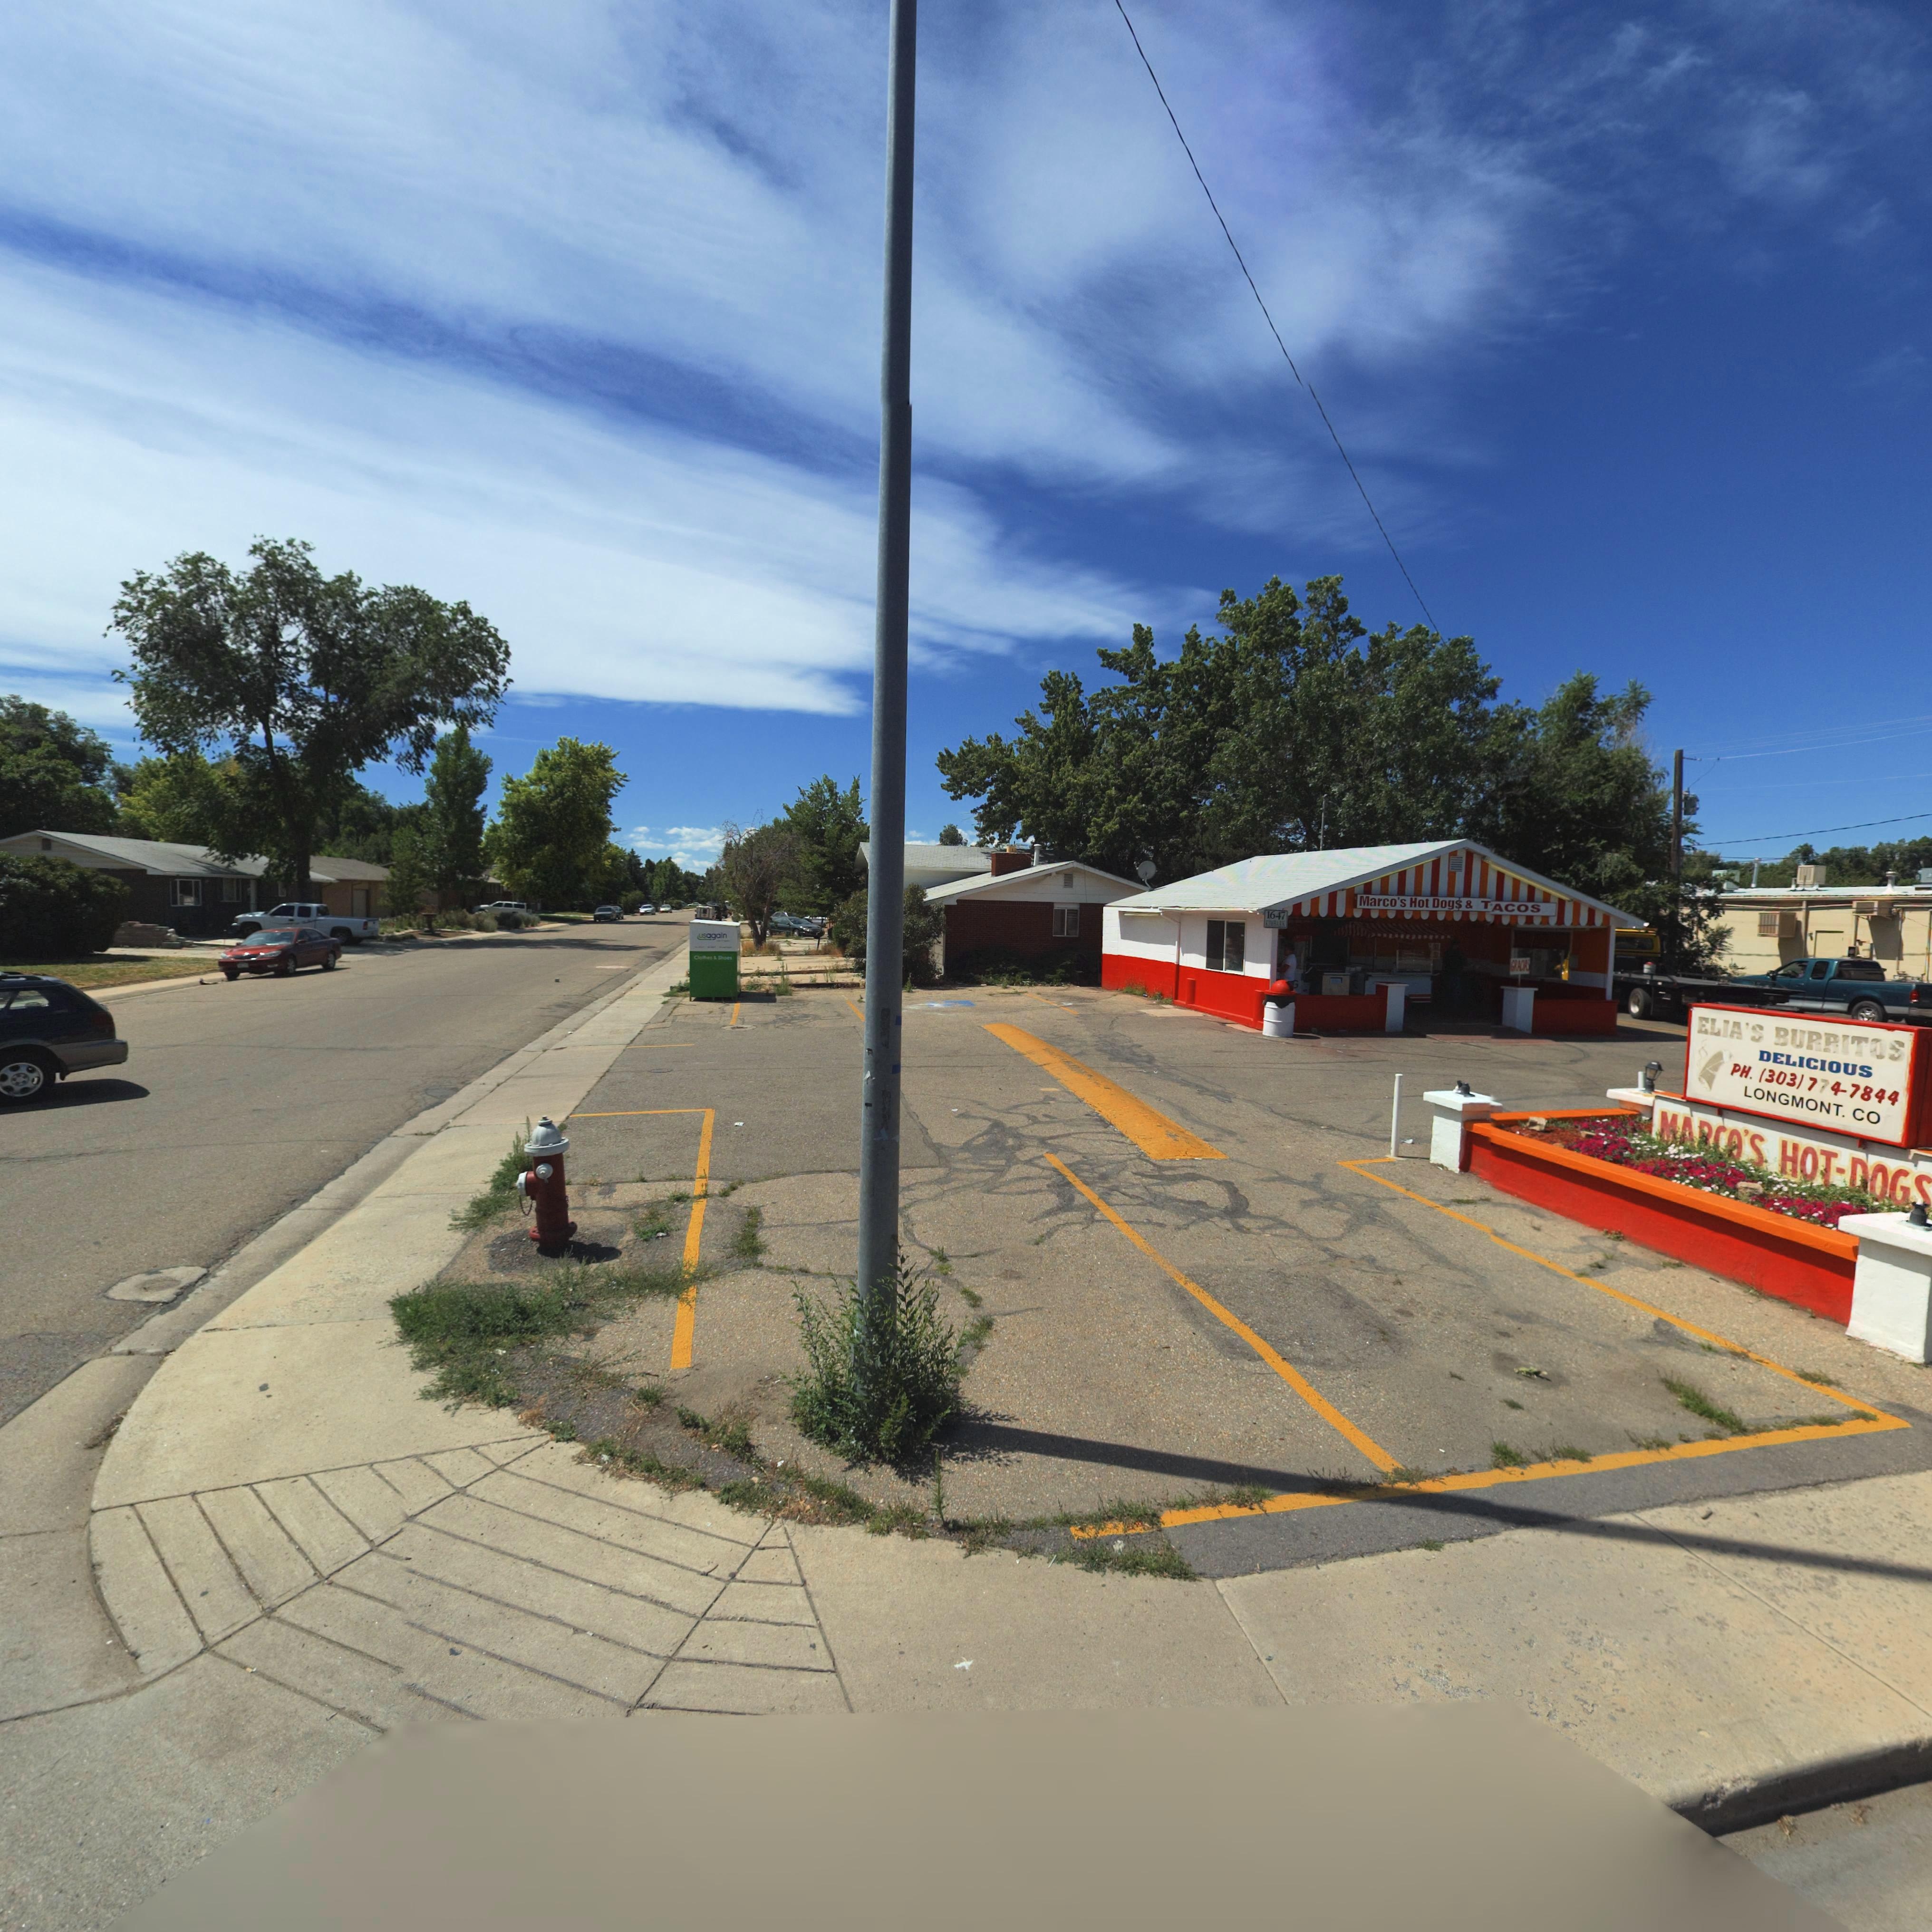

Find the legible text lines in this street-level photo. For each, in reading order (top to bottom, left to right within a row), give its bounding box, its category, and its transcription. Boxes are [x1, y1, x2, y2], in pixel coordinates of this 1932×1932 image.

[1264, 919, 1286, 927] StreetName: KIMBARK
[1266, 910, 1286, 920] StreetNumber: 1647
[1358, 895, 1541, 913] BusinessName: Marco's Got Dog$ & TACOS
[1696, 1015, 1905, 1063] BusinessName: ELIA'S BURRITOS
[1758, 1049, 1873, 1078] BusinessName: DELICIOUS
[1657, 1108, 1912, 1209] BusinessName: MARCO'S HOT-DOG